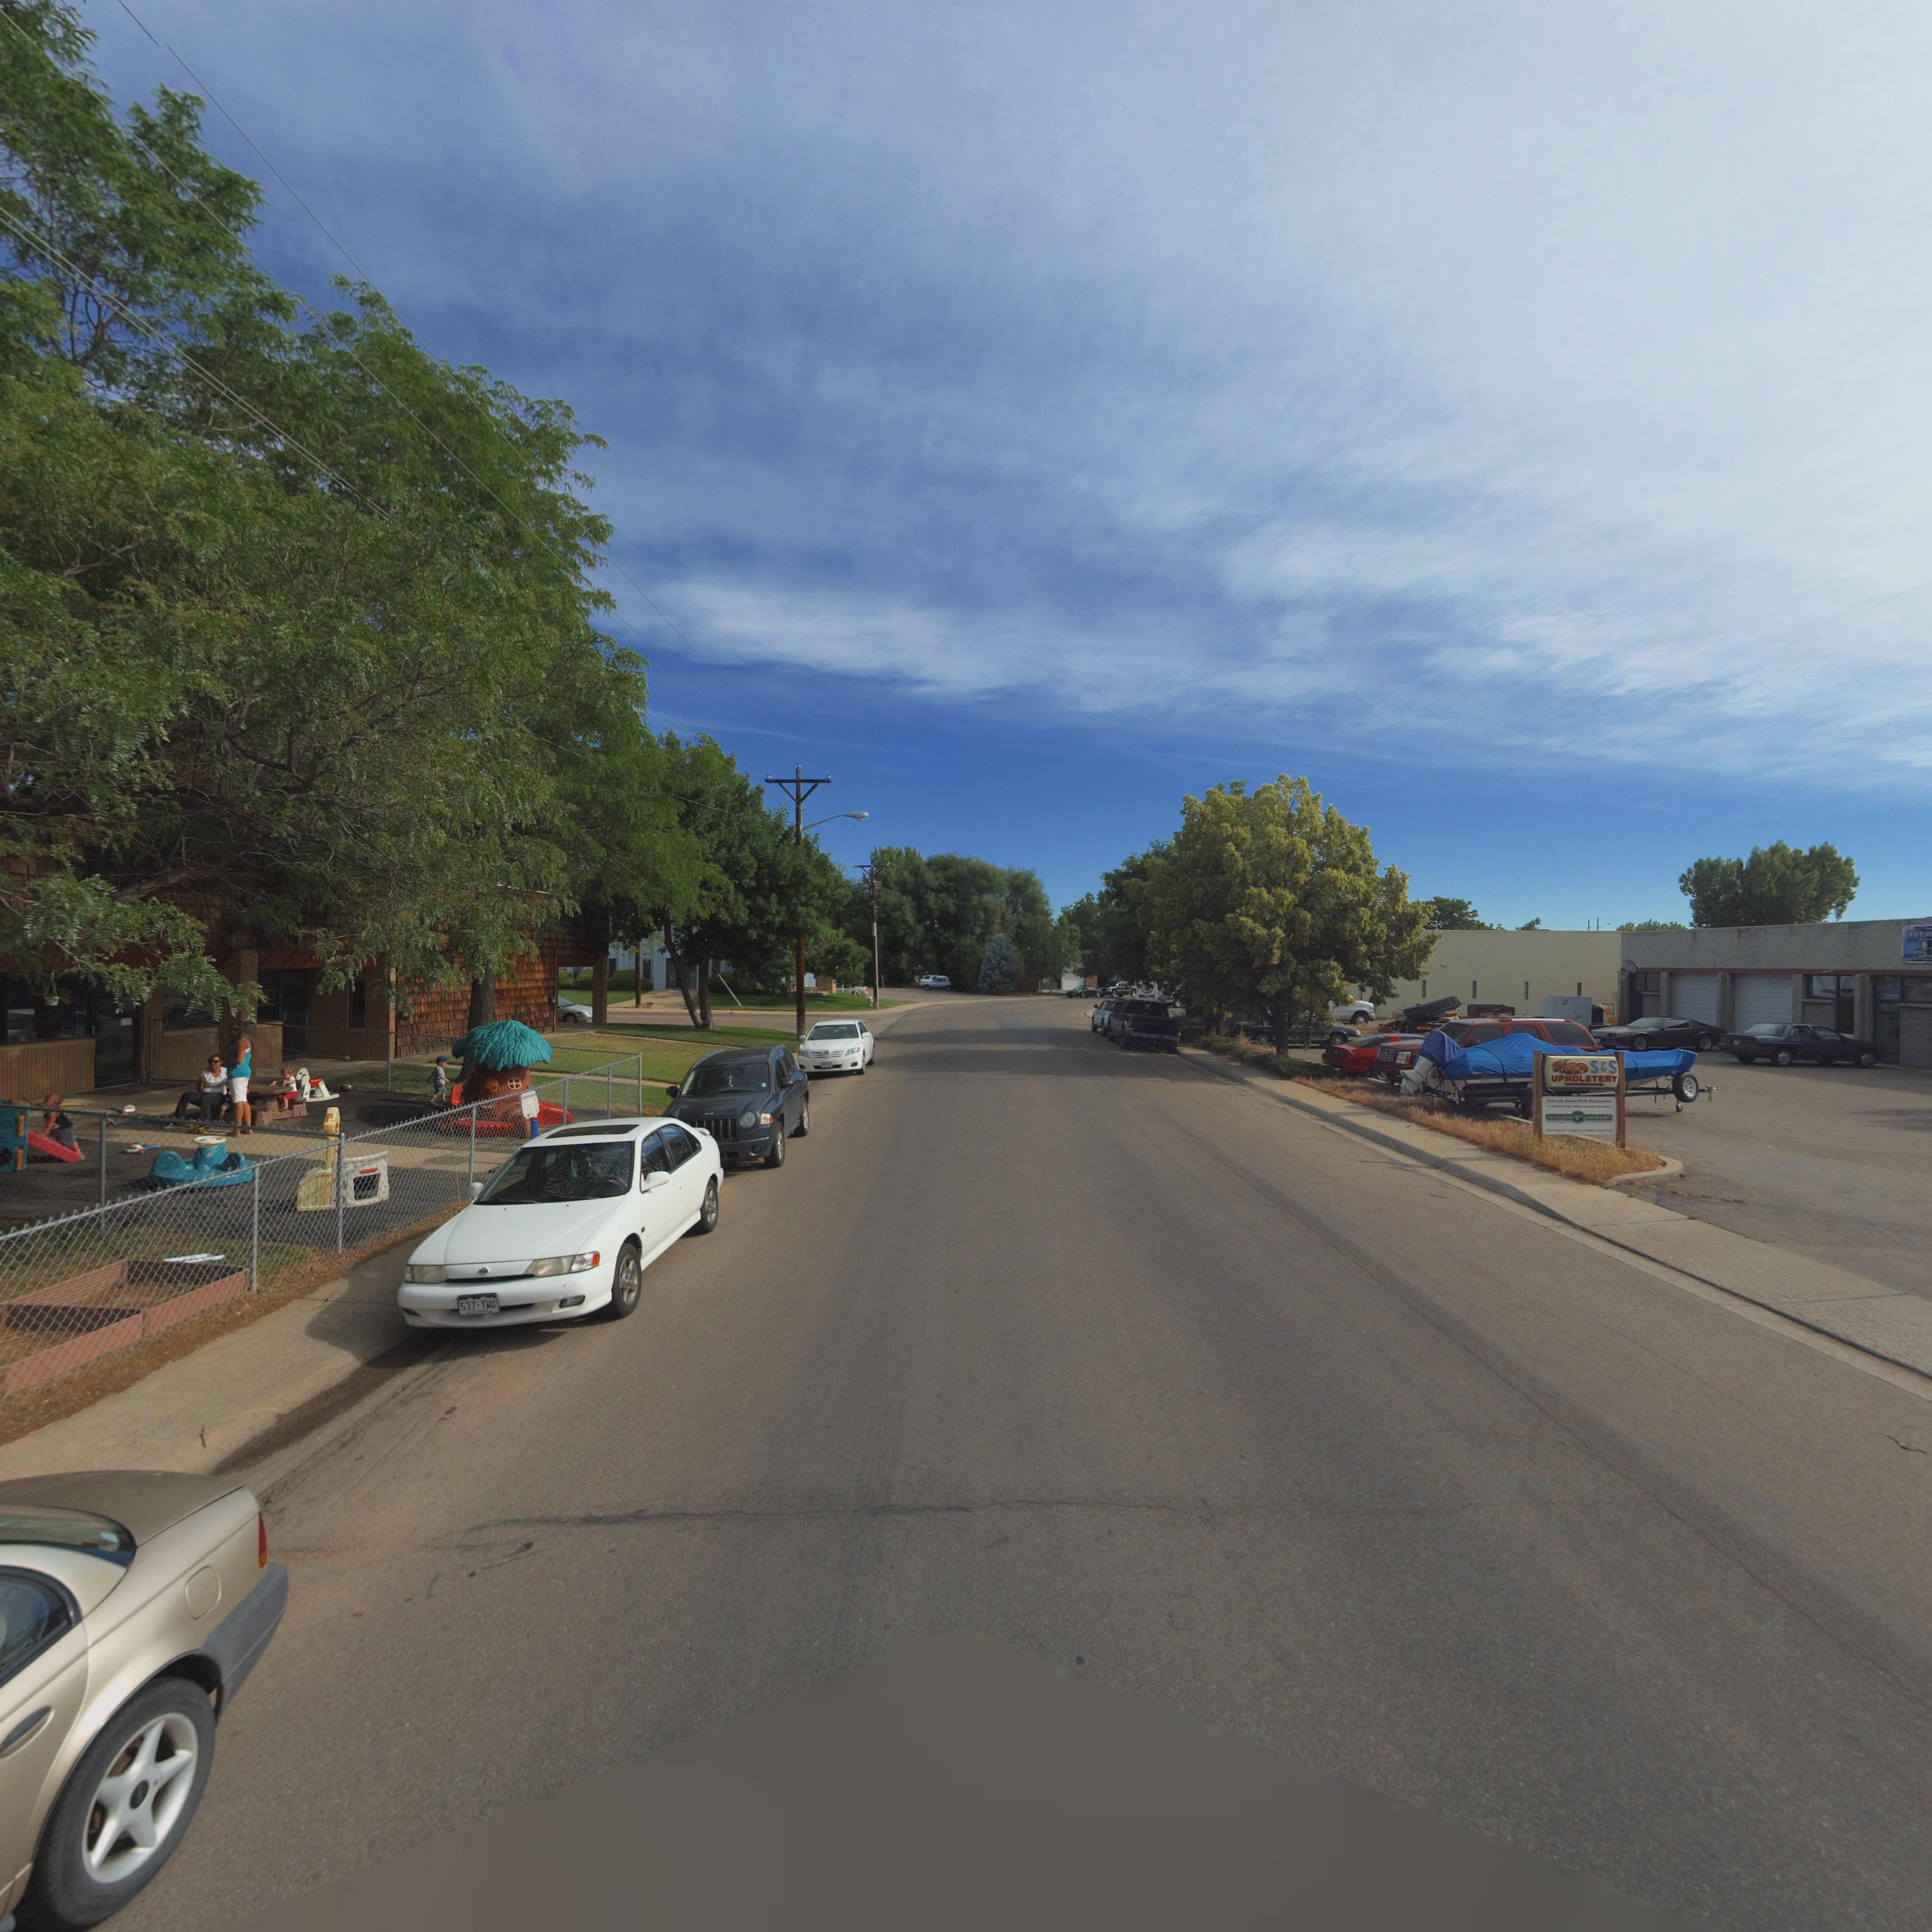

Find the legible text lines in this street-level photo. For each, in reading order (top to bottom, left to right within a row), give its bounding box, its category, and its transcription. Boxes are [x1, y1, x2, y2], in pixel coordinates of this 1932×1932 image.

[1907, 930, 1924, 938] BusinessName: S * S
[1590, 1059, 1617, 1074] BusinessName: S * S
[1551, 1074, 1618, 1082] BusinessName: UPHOLSTERY
[1546, 1098, 1612, 1103] BusinessName: SAFE AND SOUND AUTO ACCESSORIES
[1550, 1111, 1608, 1123] BusinessName: **** * SOUND